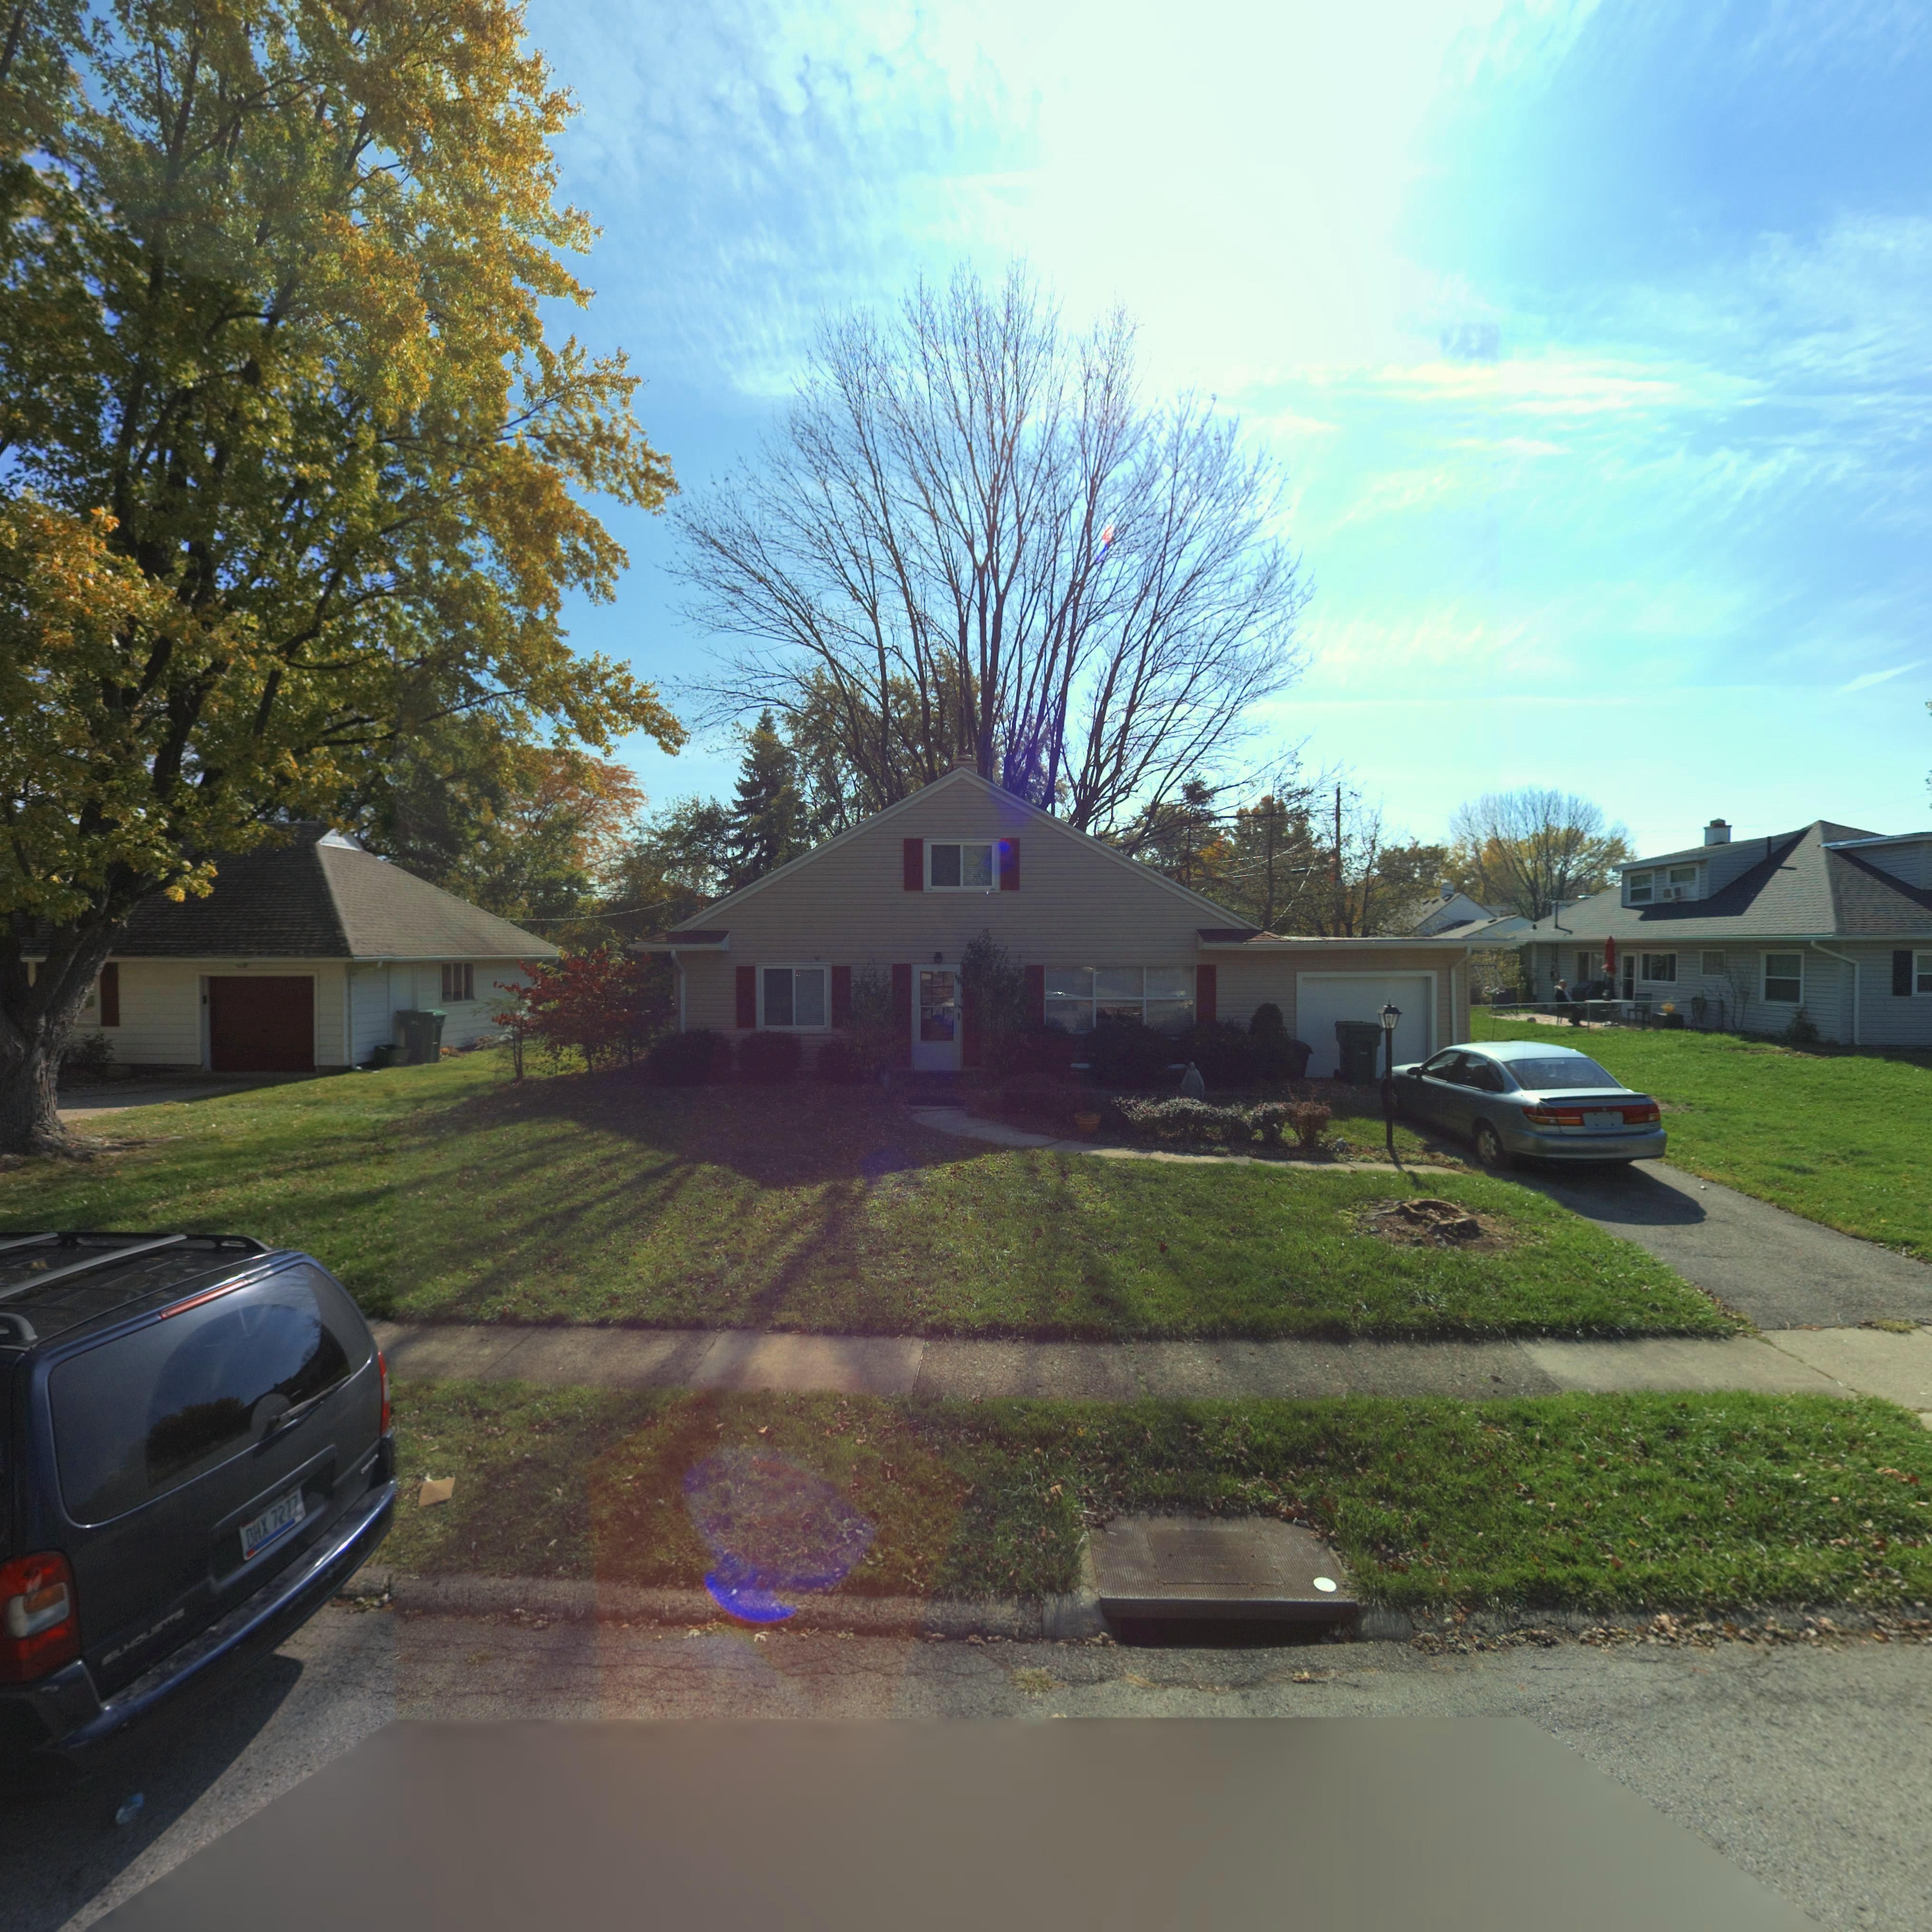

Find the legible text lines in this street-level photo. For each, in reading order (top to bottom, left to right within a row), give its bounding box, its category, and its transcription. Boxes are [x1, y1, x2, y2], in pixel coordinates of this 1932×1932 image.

[243, 1491, 301, 1550] None: DHX 7277